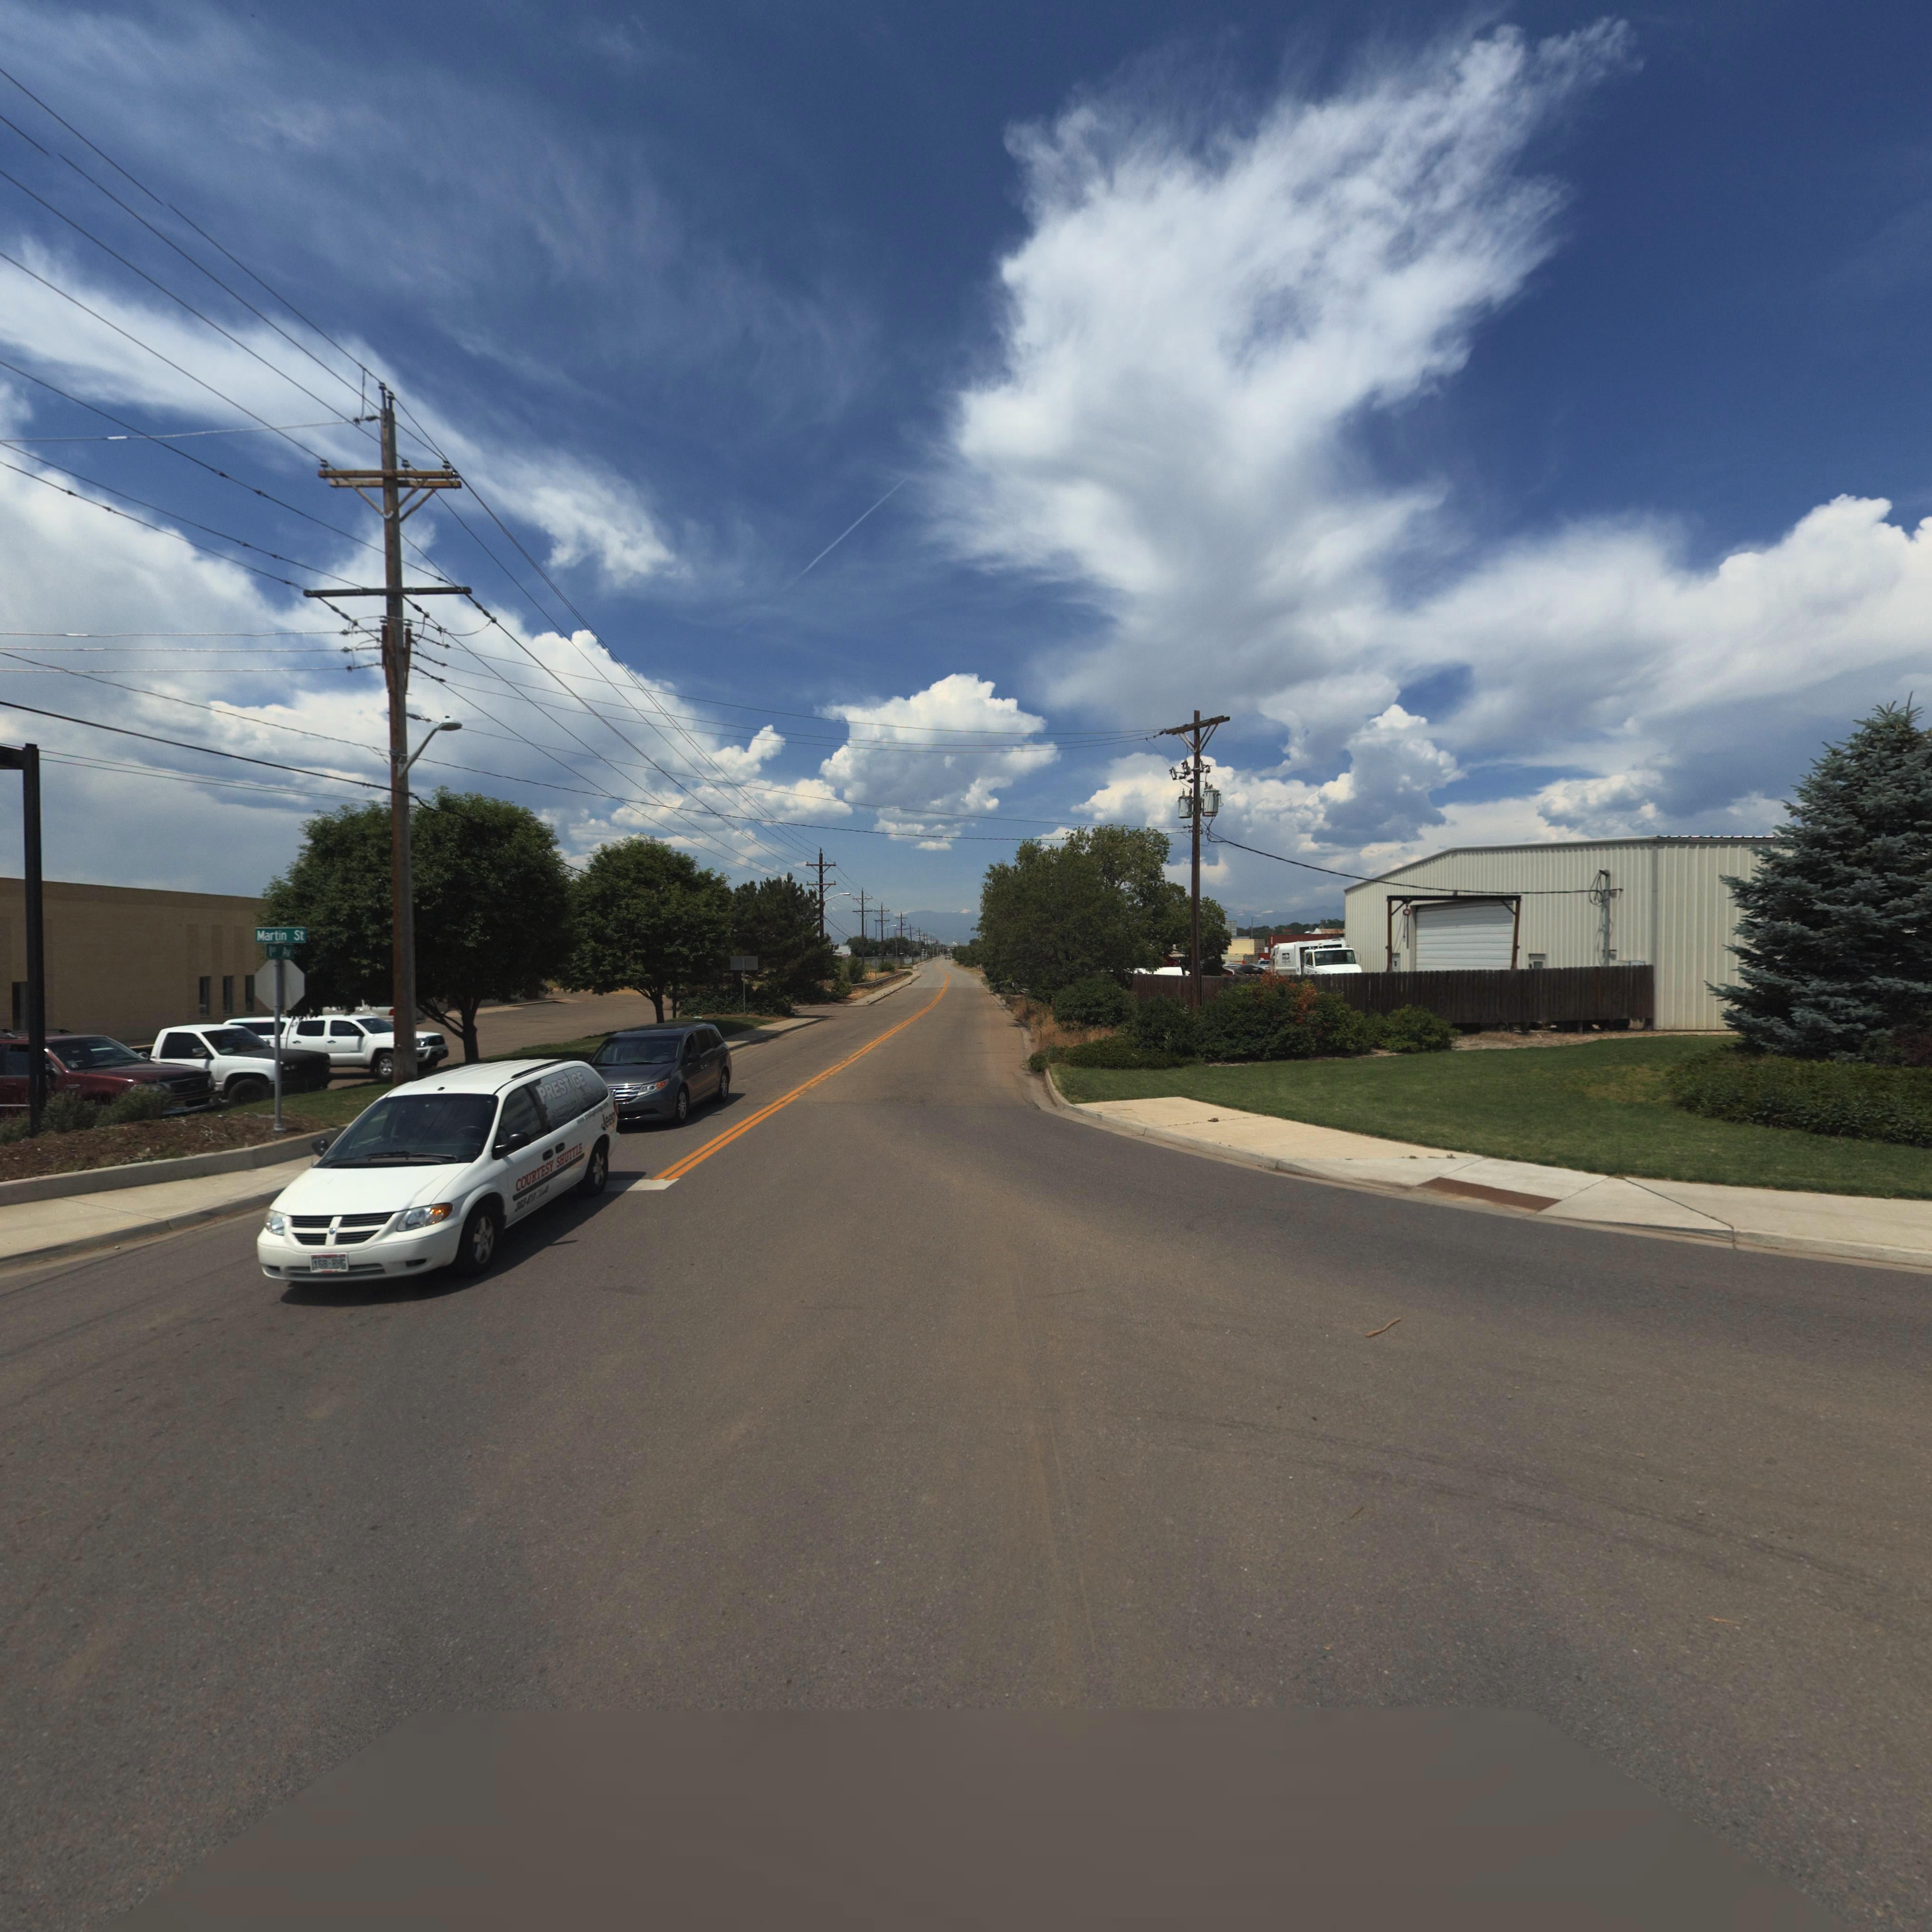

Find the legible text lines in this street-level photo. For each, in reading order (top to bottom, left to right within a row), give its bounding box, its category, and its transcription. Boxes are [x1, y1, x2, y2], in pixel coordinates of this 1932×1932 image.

[256, 929, 304, 941] StreetName: Martin St
[268, 946, 291, 957] StreetName: 1st Av